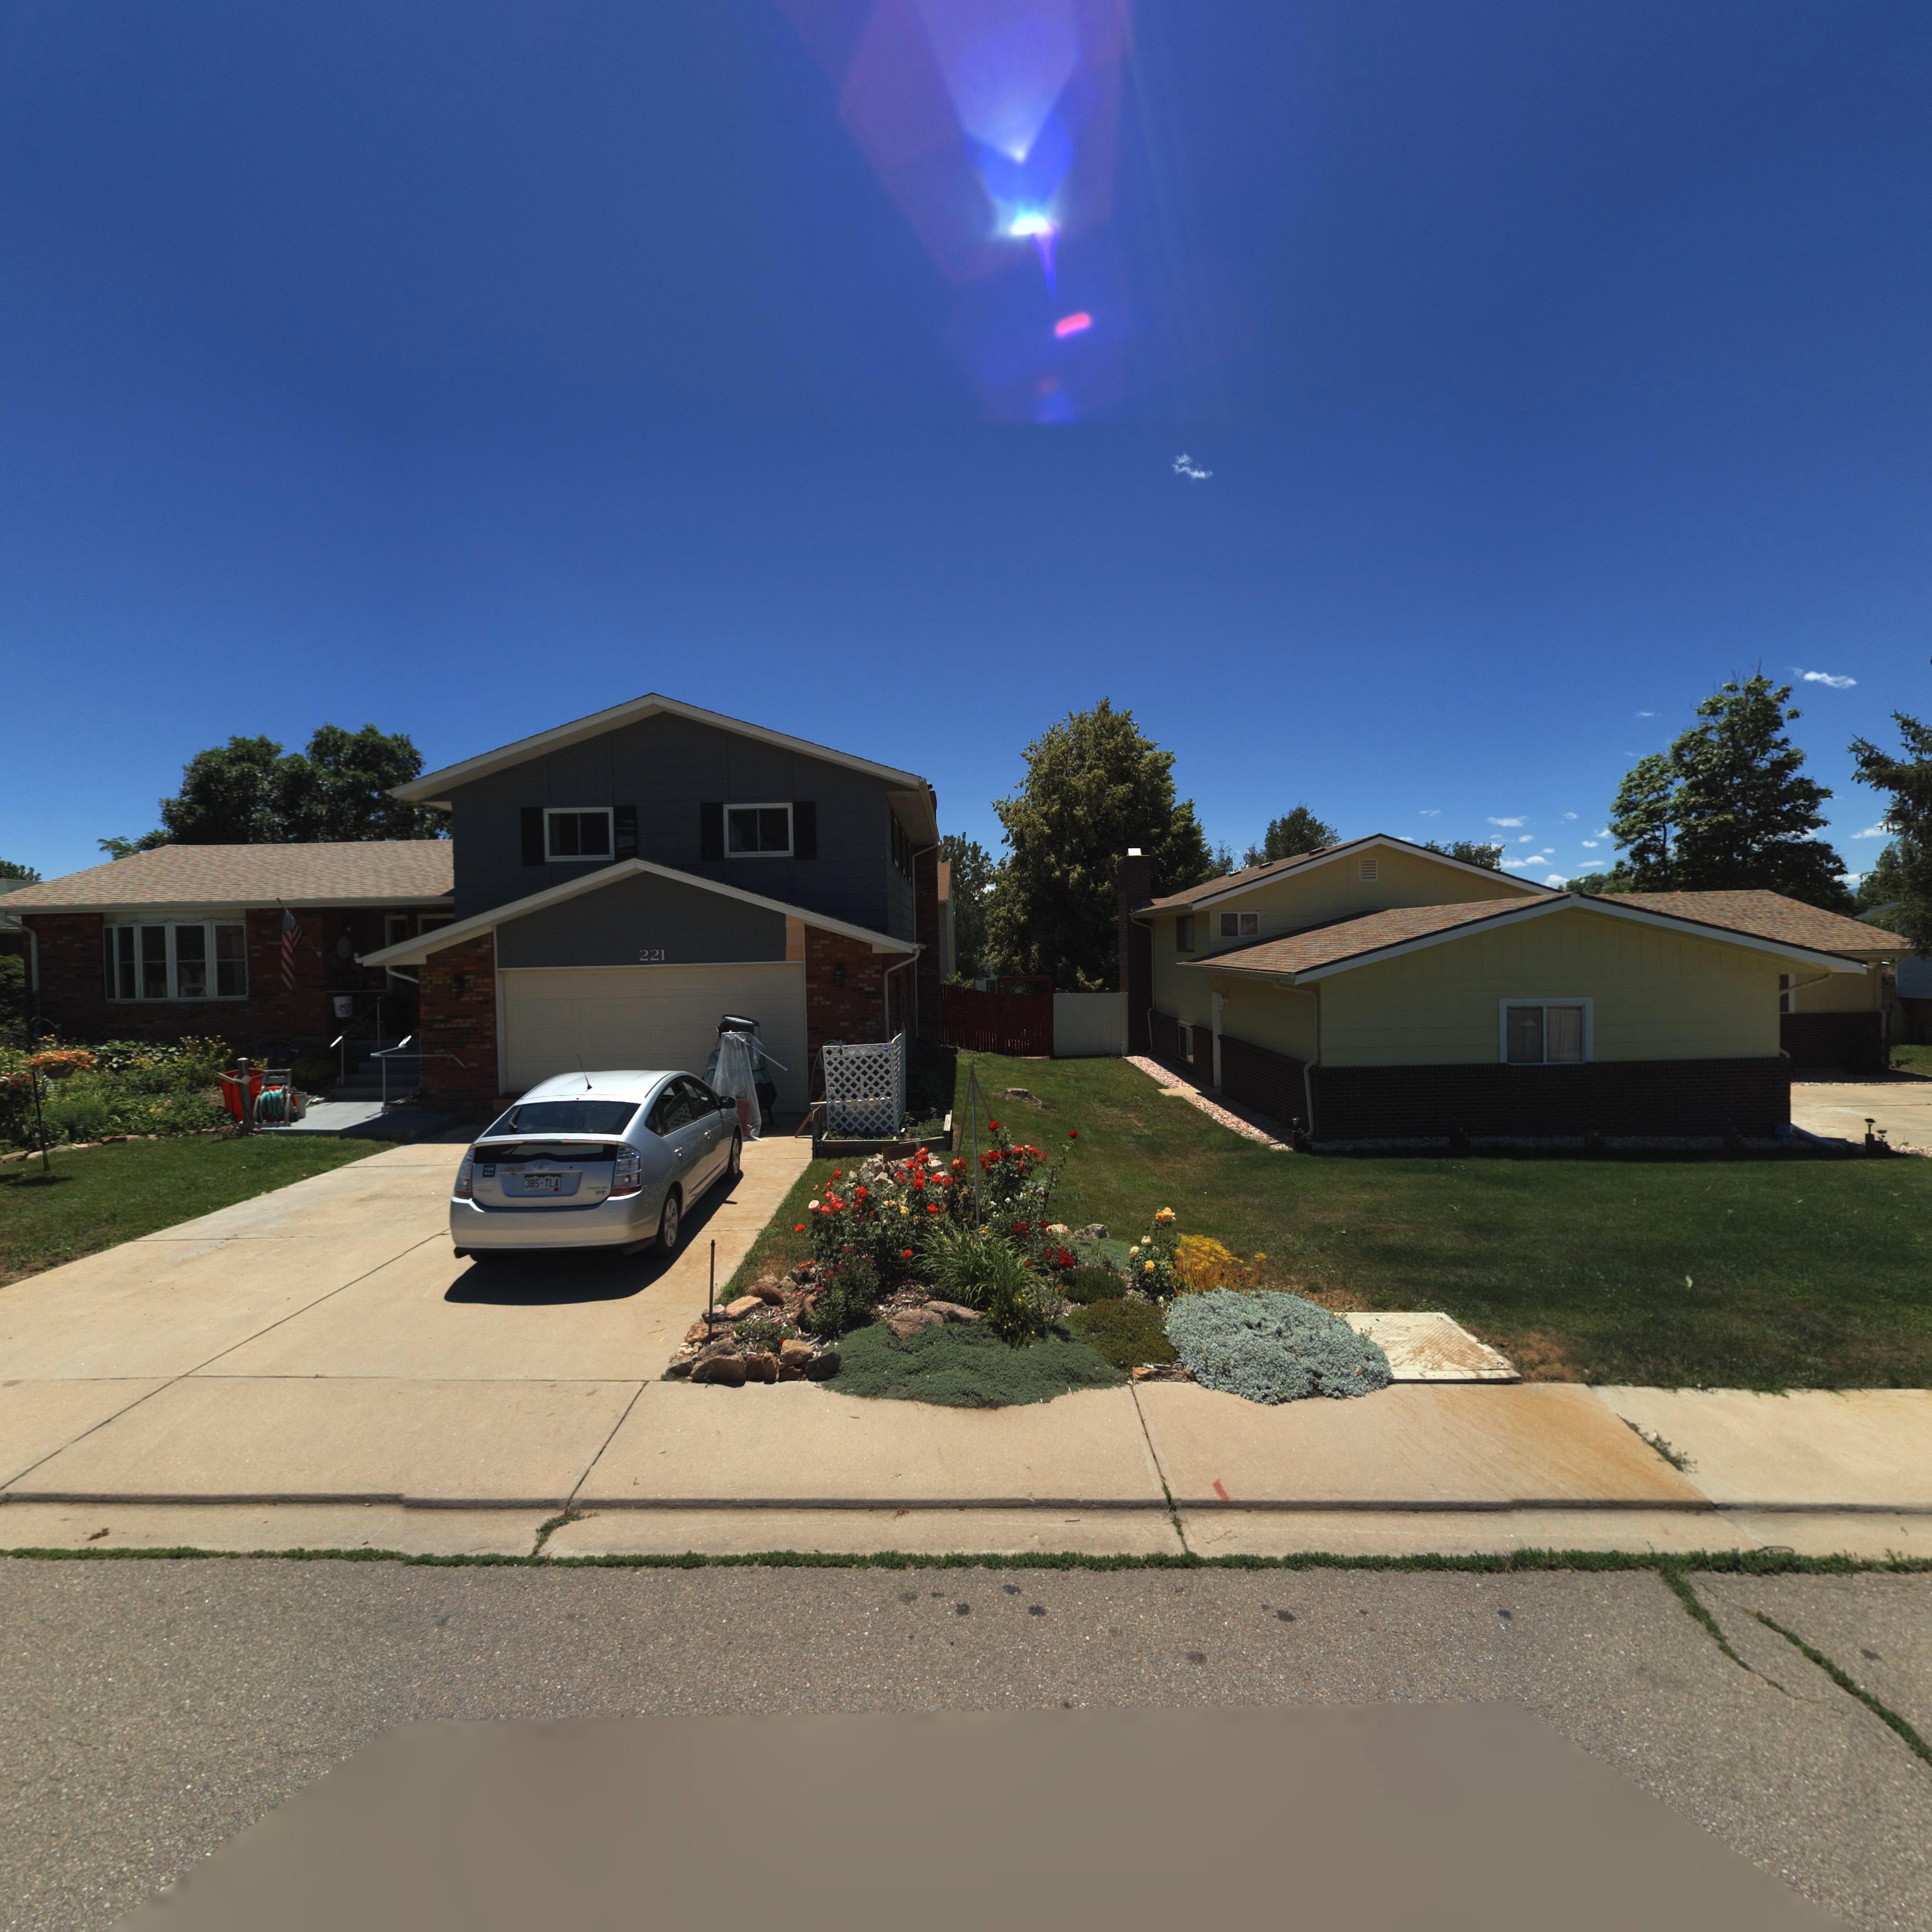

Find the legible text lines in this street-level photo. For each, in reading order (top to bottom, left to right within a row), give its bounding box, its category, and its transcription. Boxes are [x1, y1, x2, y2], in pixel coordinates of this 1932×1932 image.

[639, 949, 666, 961] StreetNumber: 221